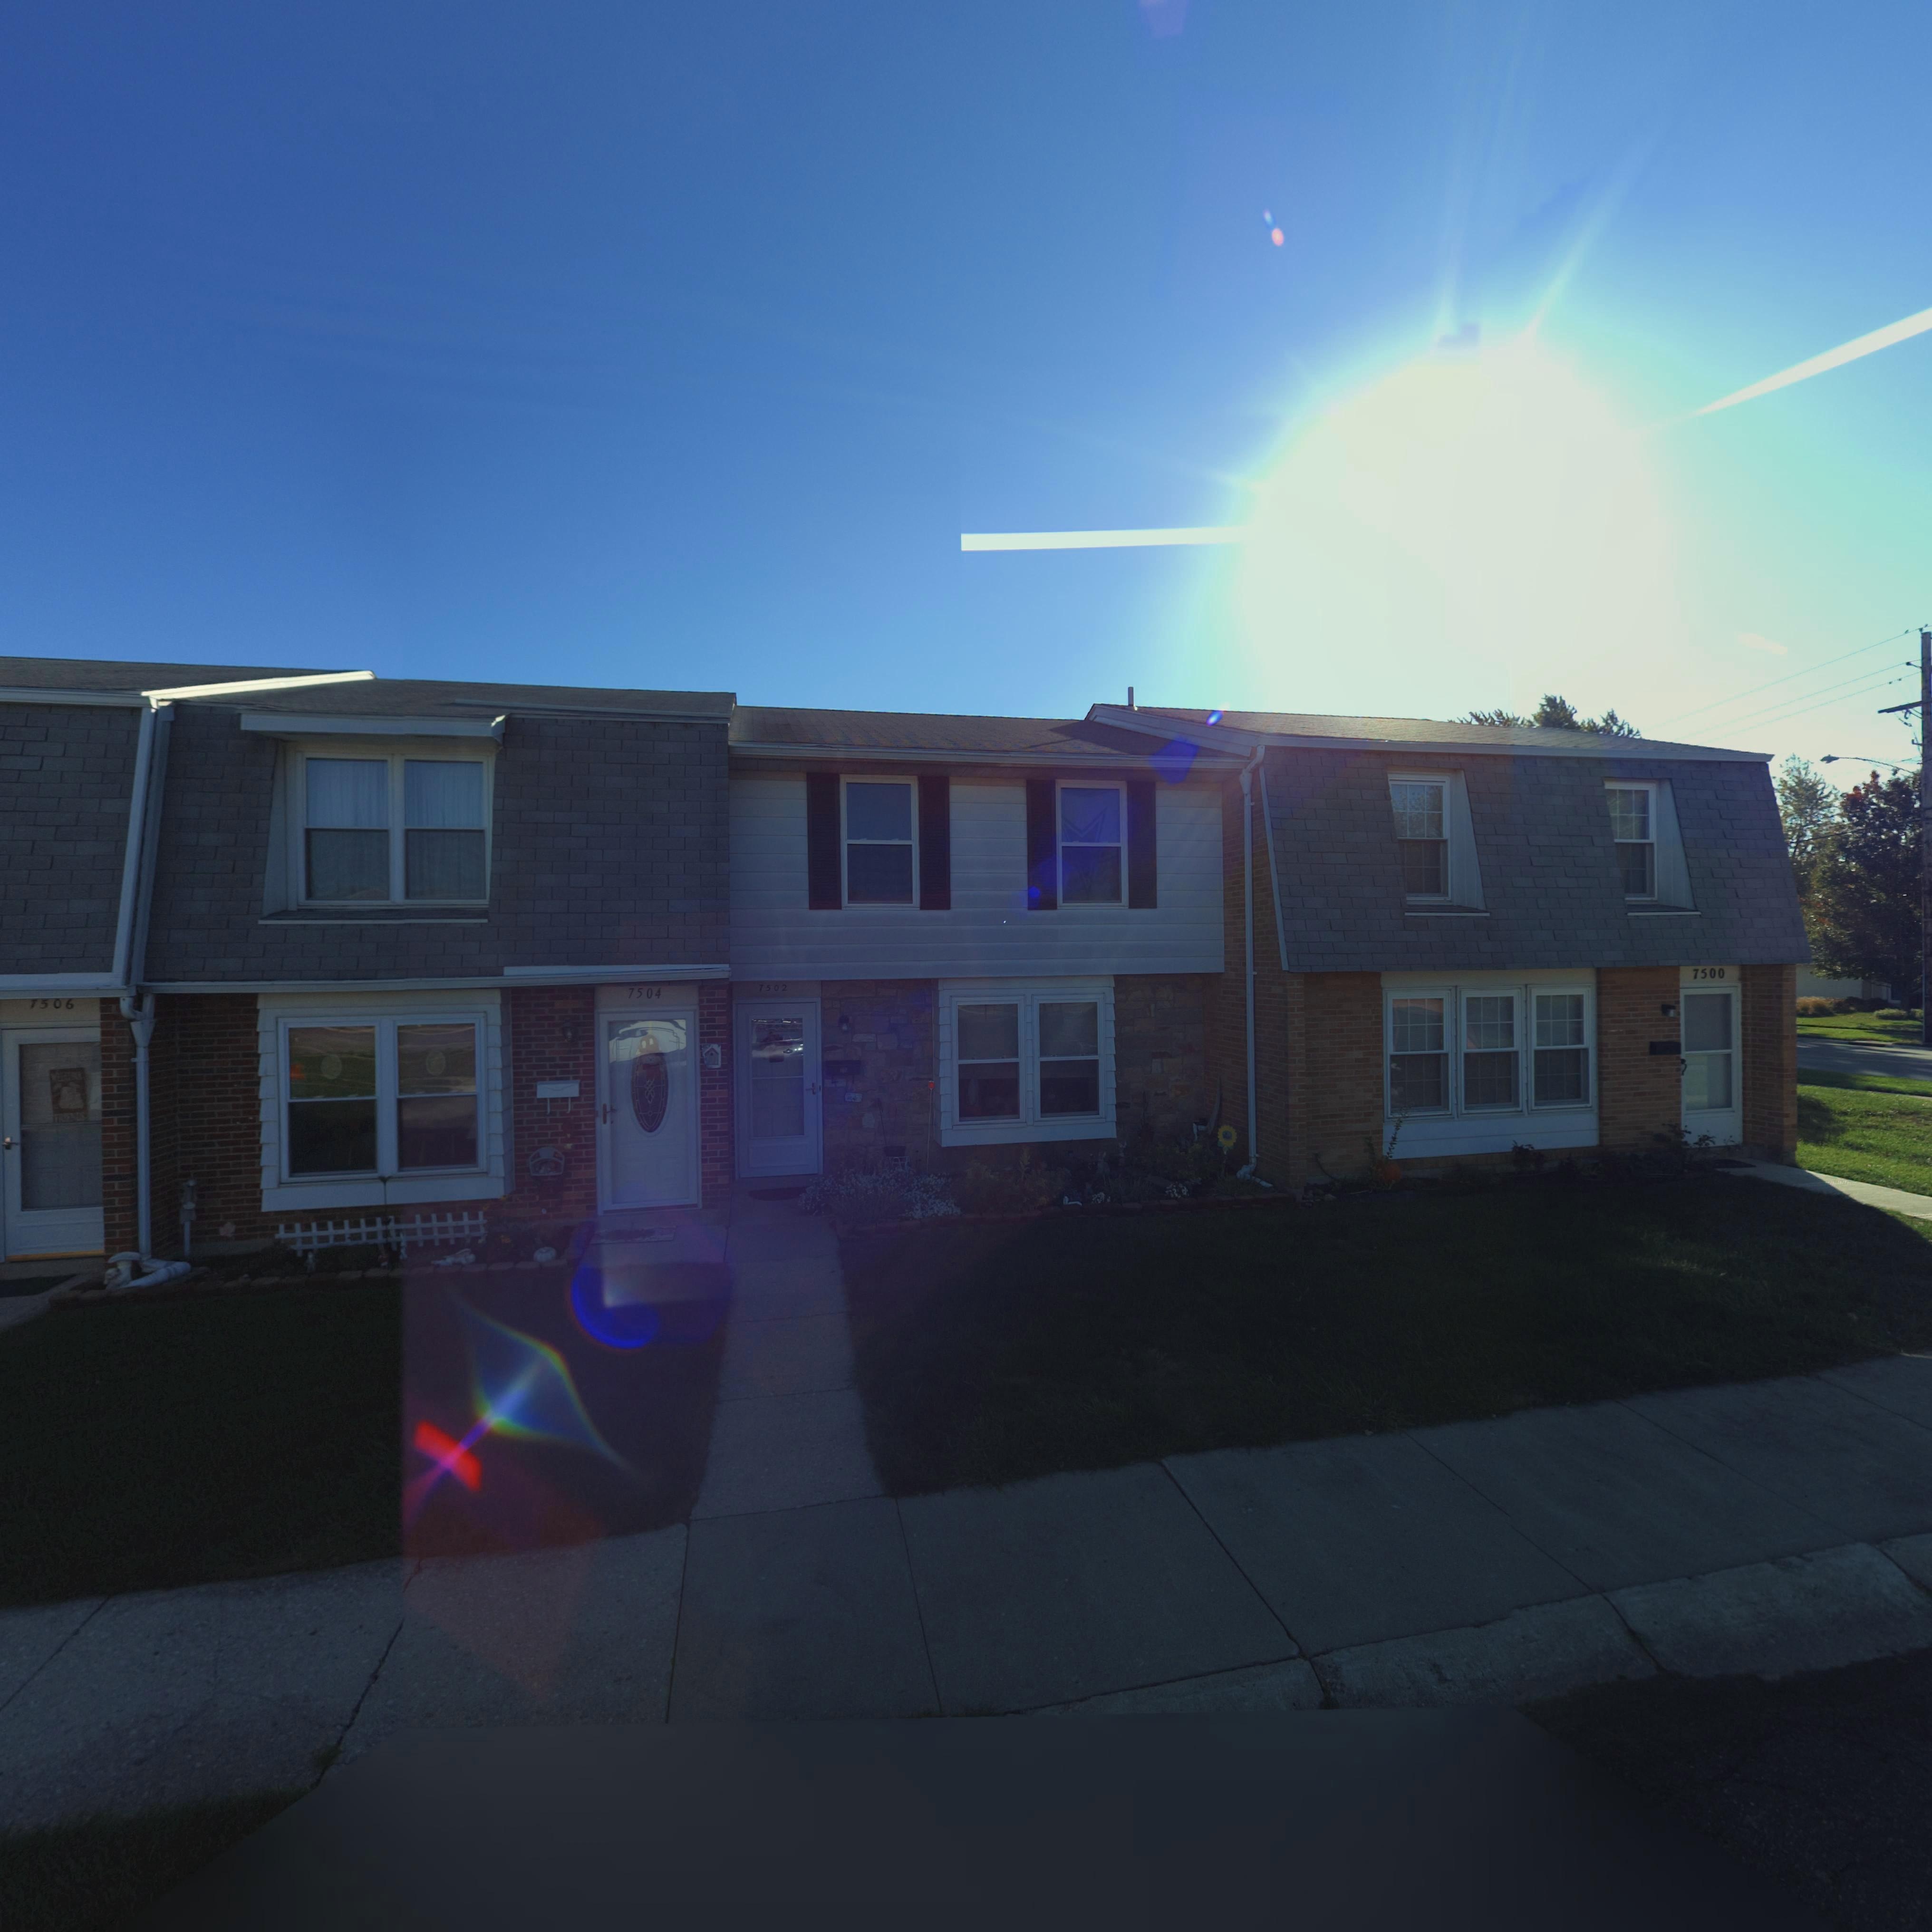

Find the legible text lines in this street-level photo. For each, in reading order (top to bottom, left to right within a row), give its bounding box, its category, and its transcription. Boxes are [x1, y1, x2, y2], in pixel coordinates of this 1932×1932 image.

[1691, 967, 1725, 980] StreetNumber: 7500
[627, 986, 662, 999] StreetNumber: 7504
[758, 983, 789, 993] StreetNumber: 7502
[29, 997, 75, 1010] StreetNumber: 7506